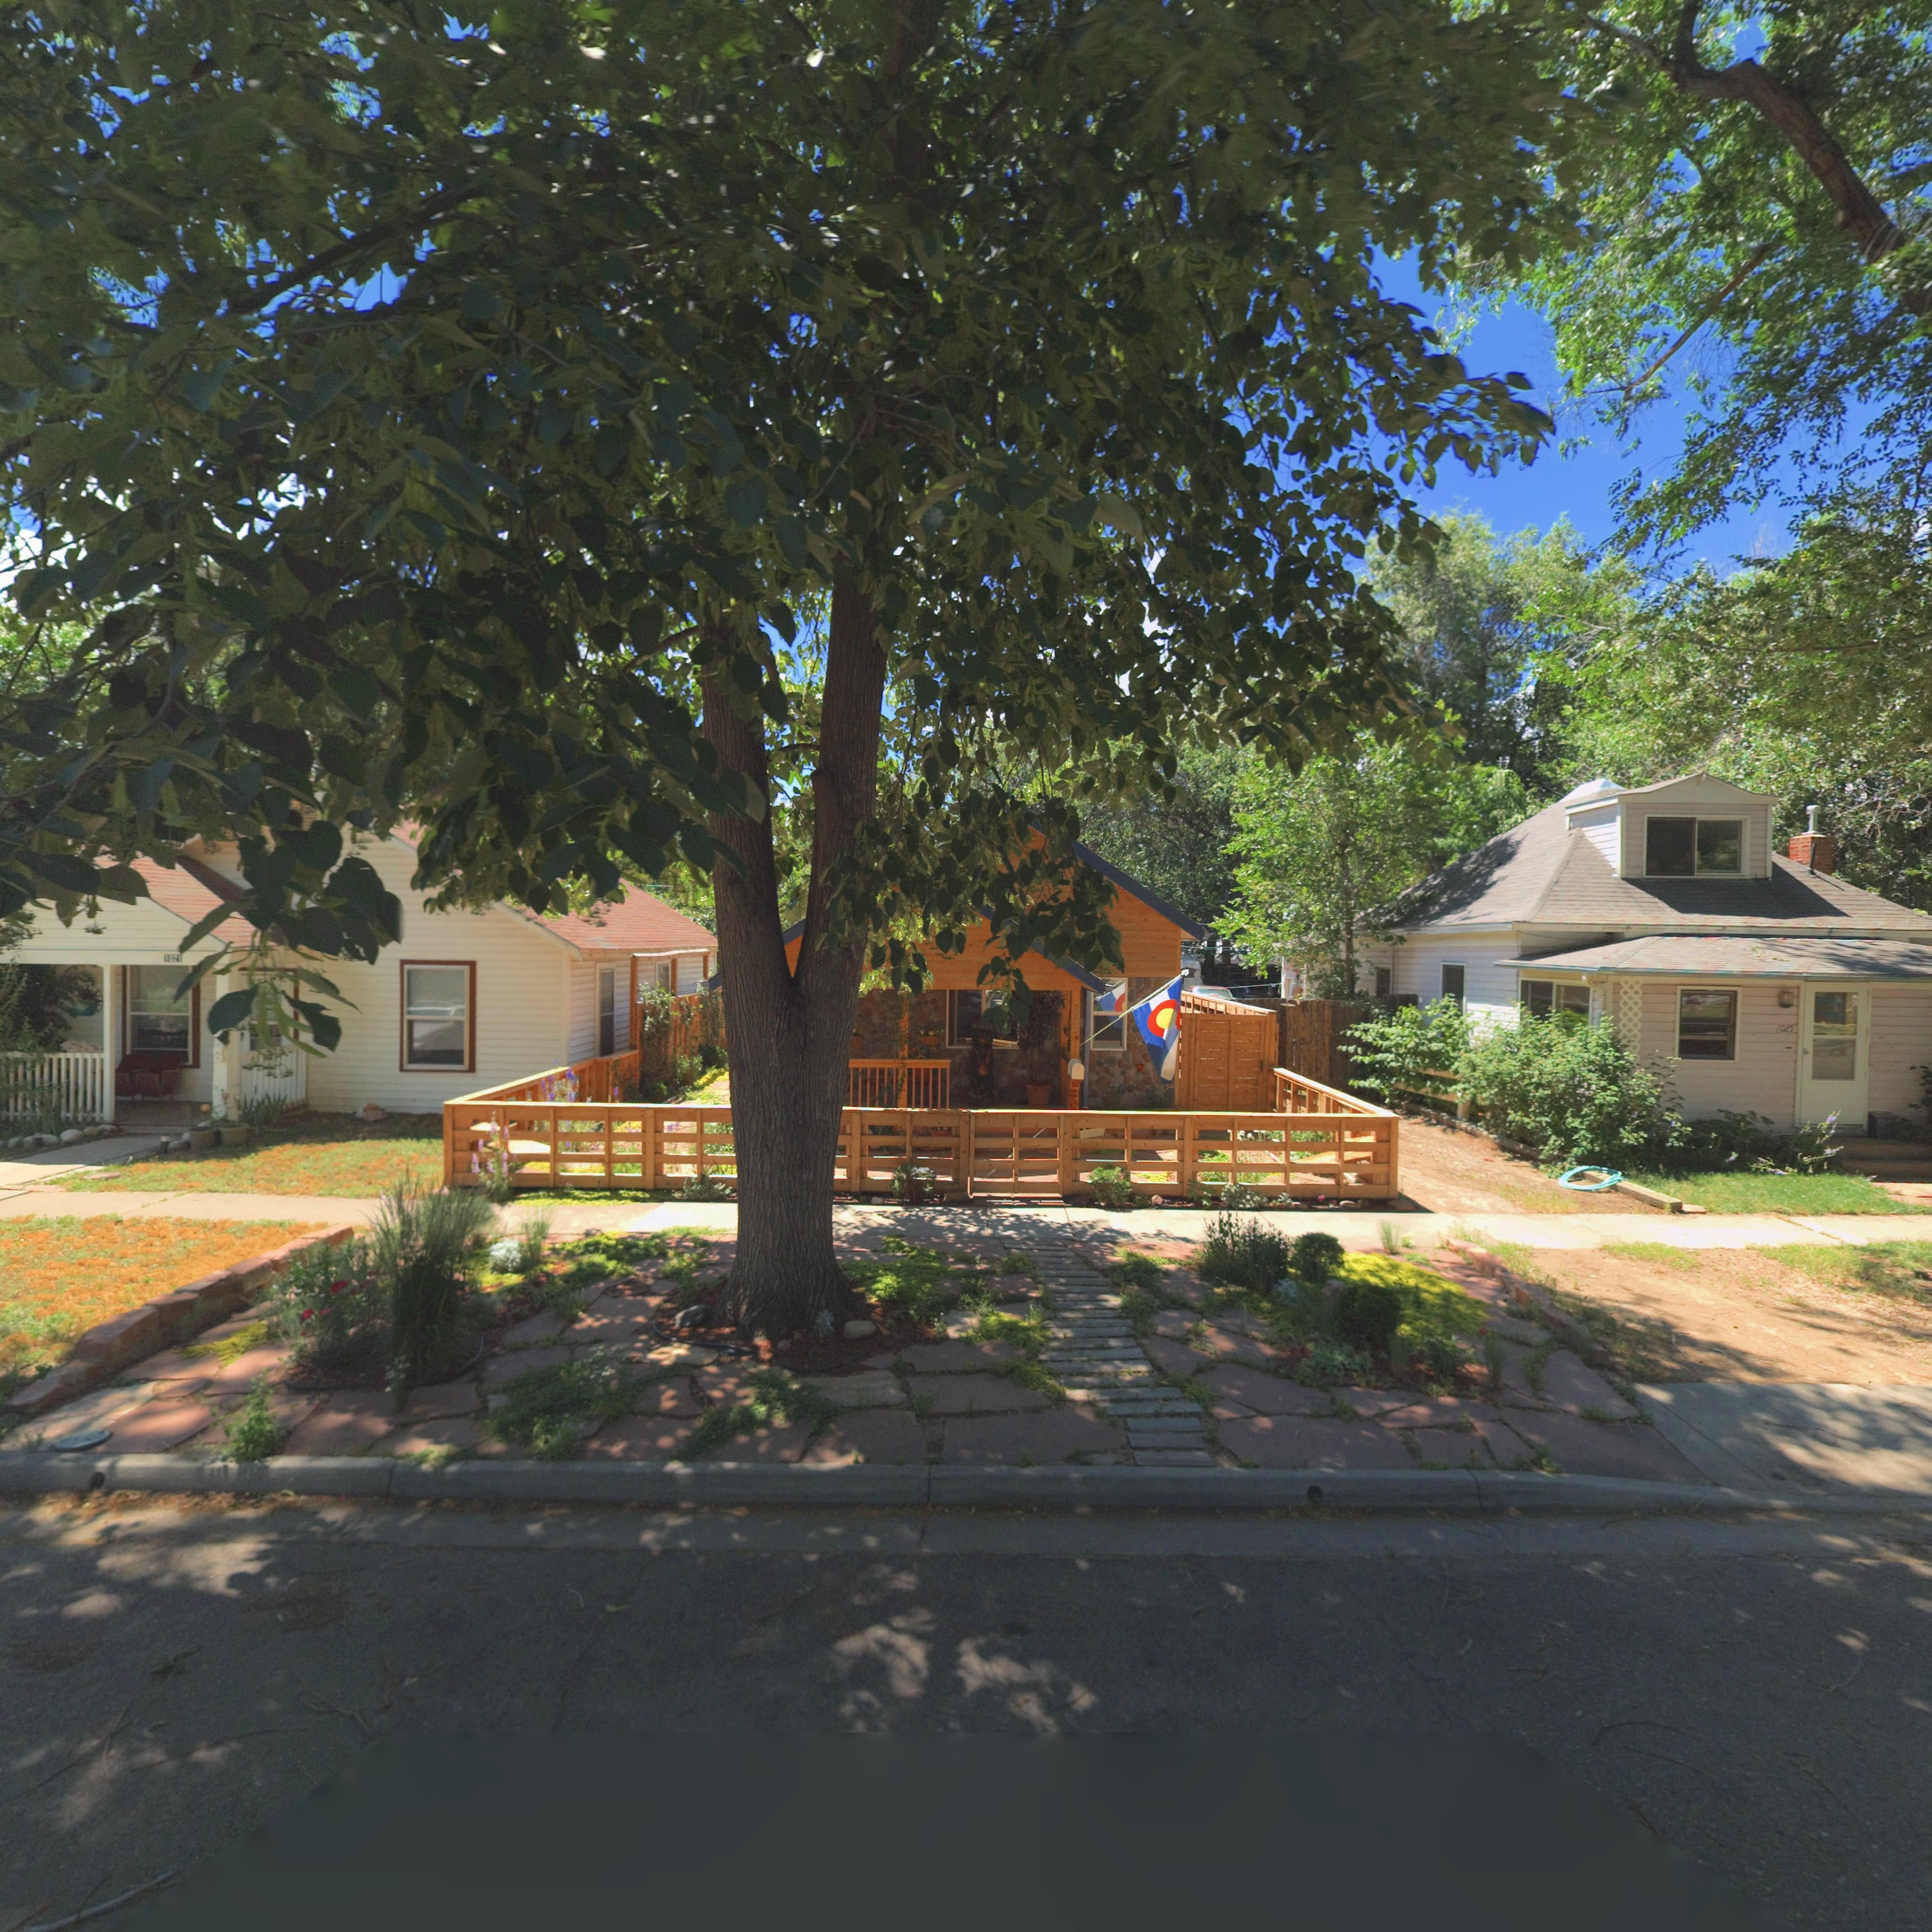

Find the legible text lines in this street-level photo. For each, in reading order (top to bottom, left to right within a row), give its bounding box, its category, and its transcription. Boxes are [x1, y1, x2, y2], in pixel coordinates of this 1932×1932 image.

[163, 953, 182, 963] StreetNumber: 1021
[1072, 998, 1079, 1034] StreetNumber: 1023
[1775, 1024, 1794, 1033] StreetNumber: 1025